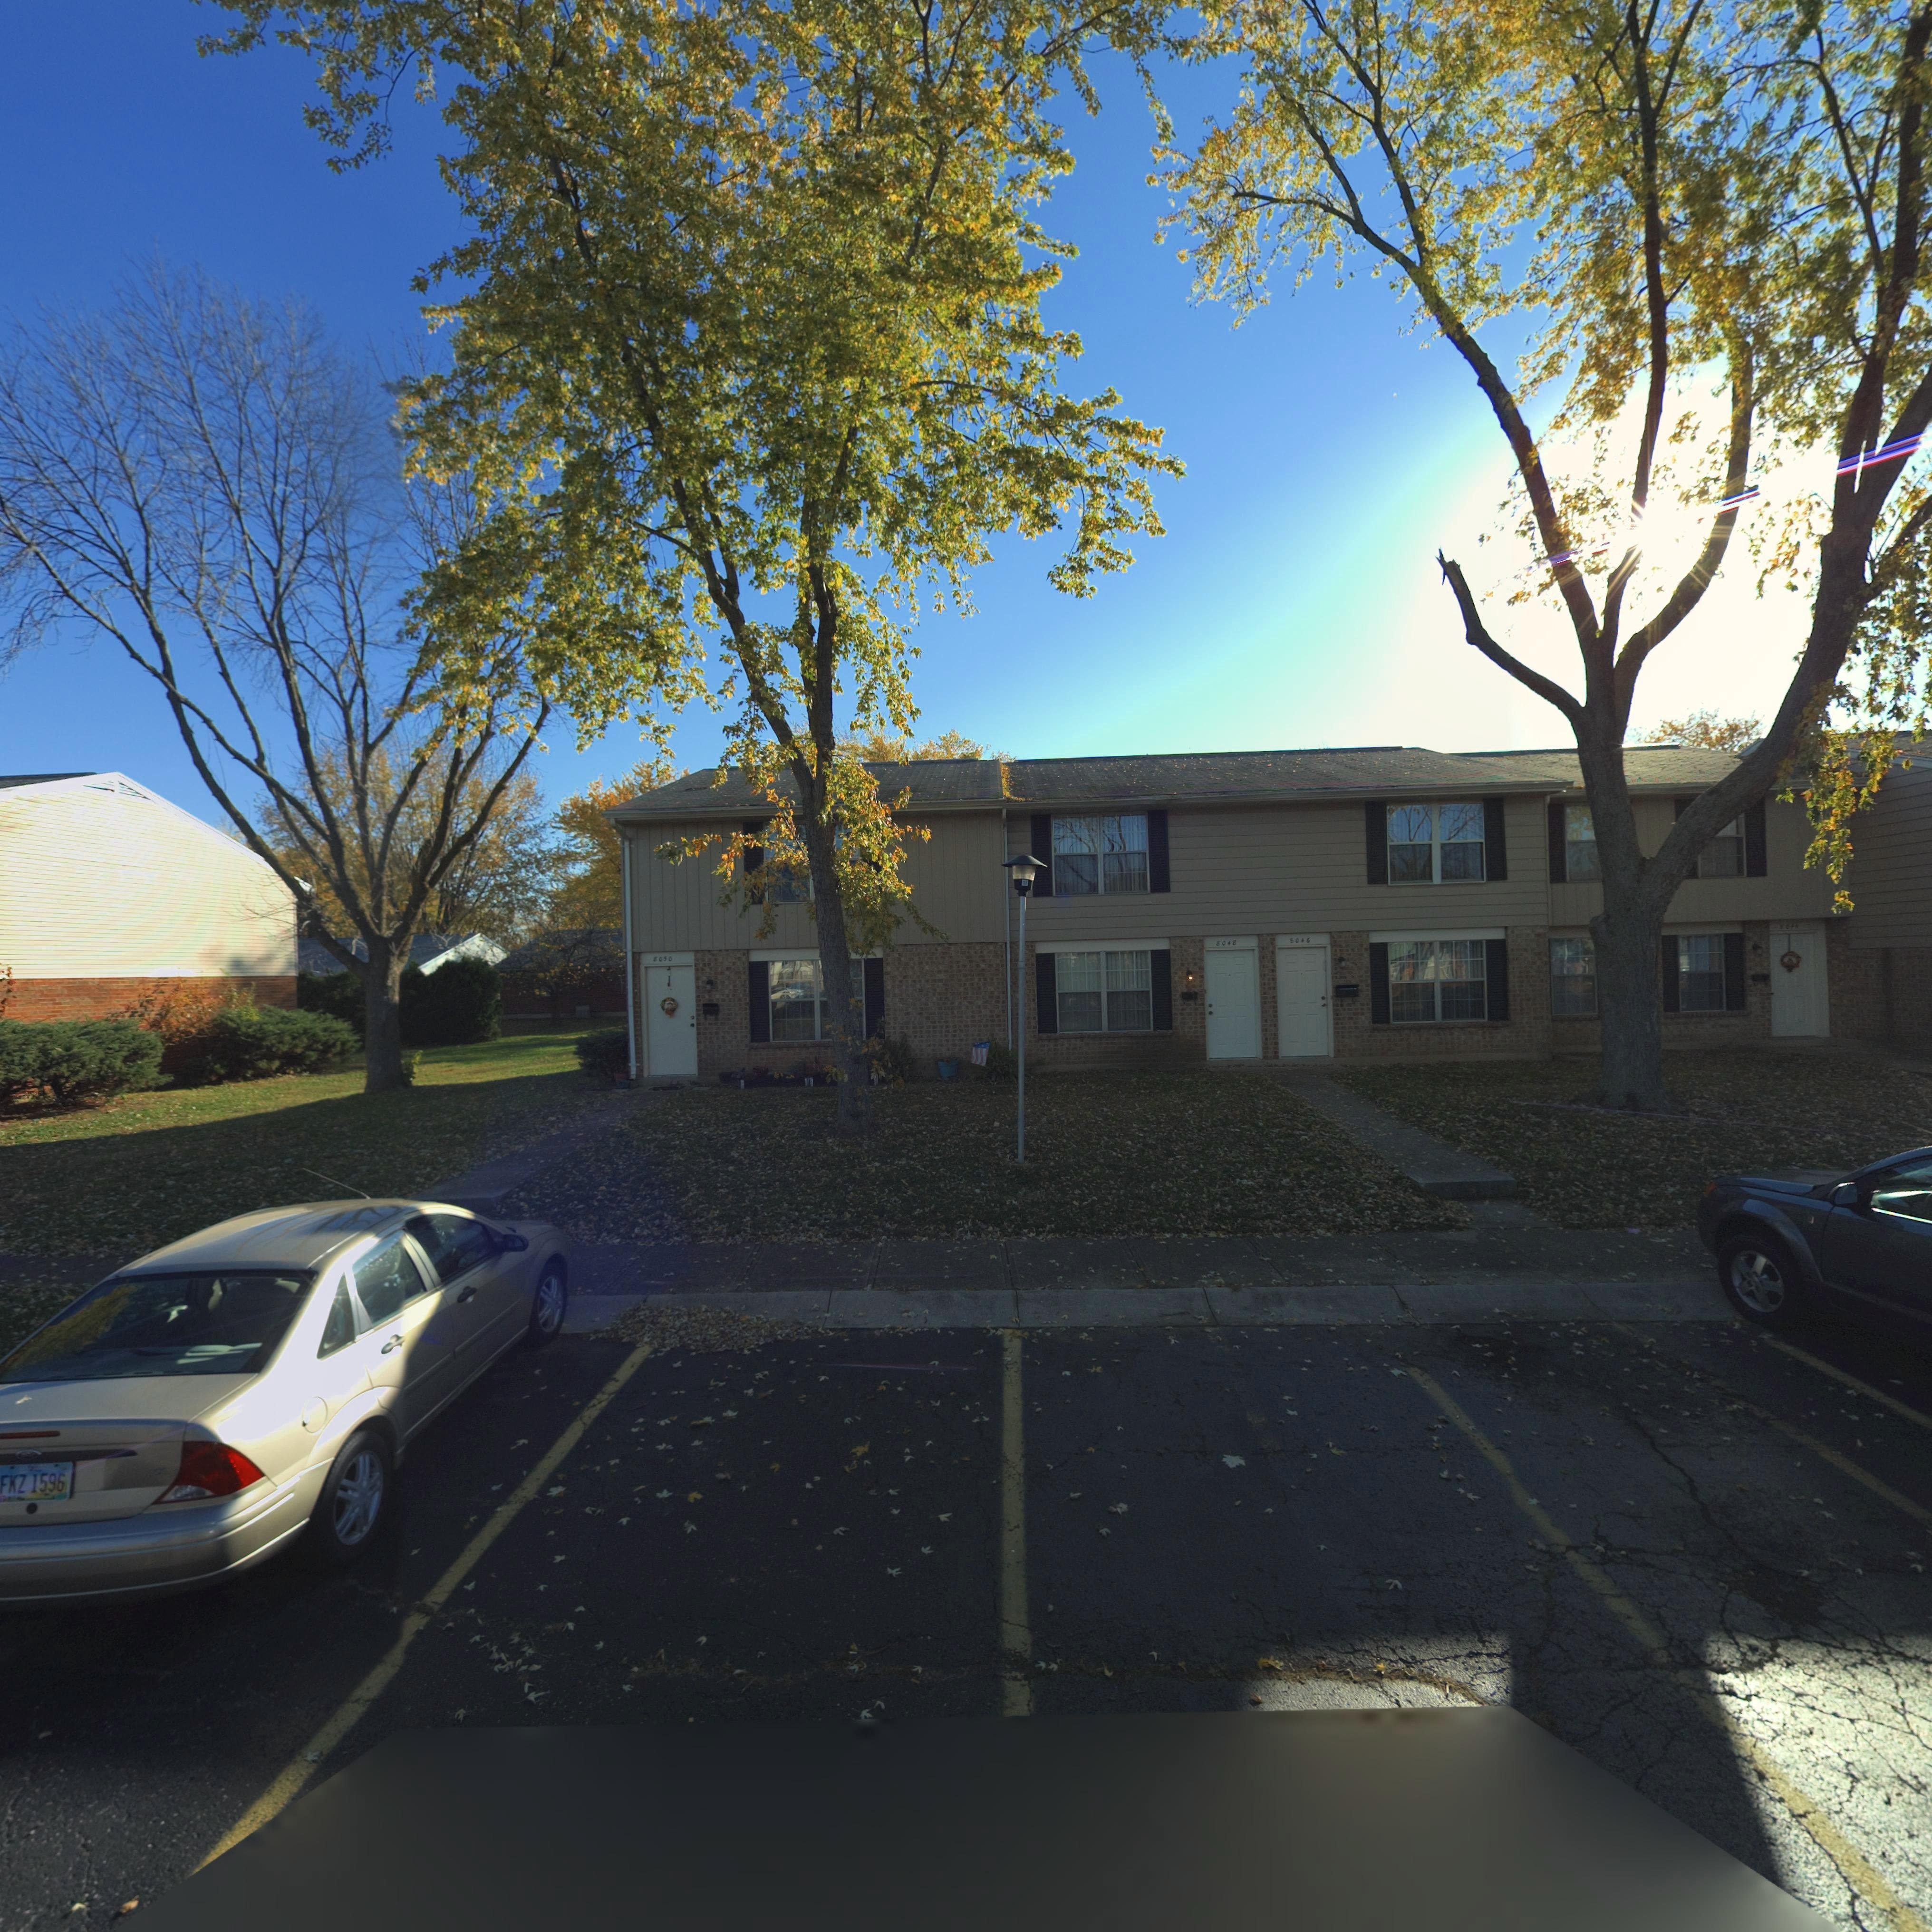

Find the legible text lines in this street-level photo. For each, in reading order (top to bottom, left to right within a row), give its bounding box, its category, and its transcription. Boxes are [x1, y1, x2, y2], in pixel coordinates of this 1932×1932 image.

[1778, 922, 1800, 931] StreetNumber: *0**
[1215, 939, 1238, 947] StreetNumber: 8048
[1288, 937, 1312, 945] StreetNumber: 8046
[652, 955, 673, 963] StreetNumber: 8050
[2, 1471, 67, 1497] None: KZ 1596